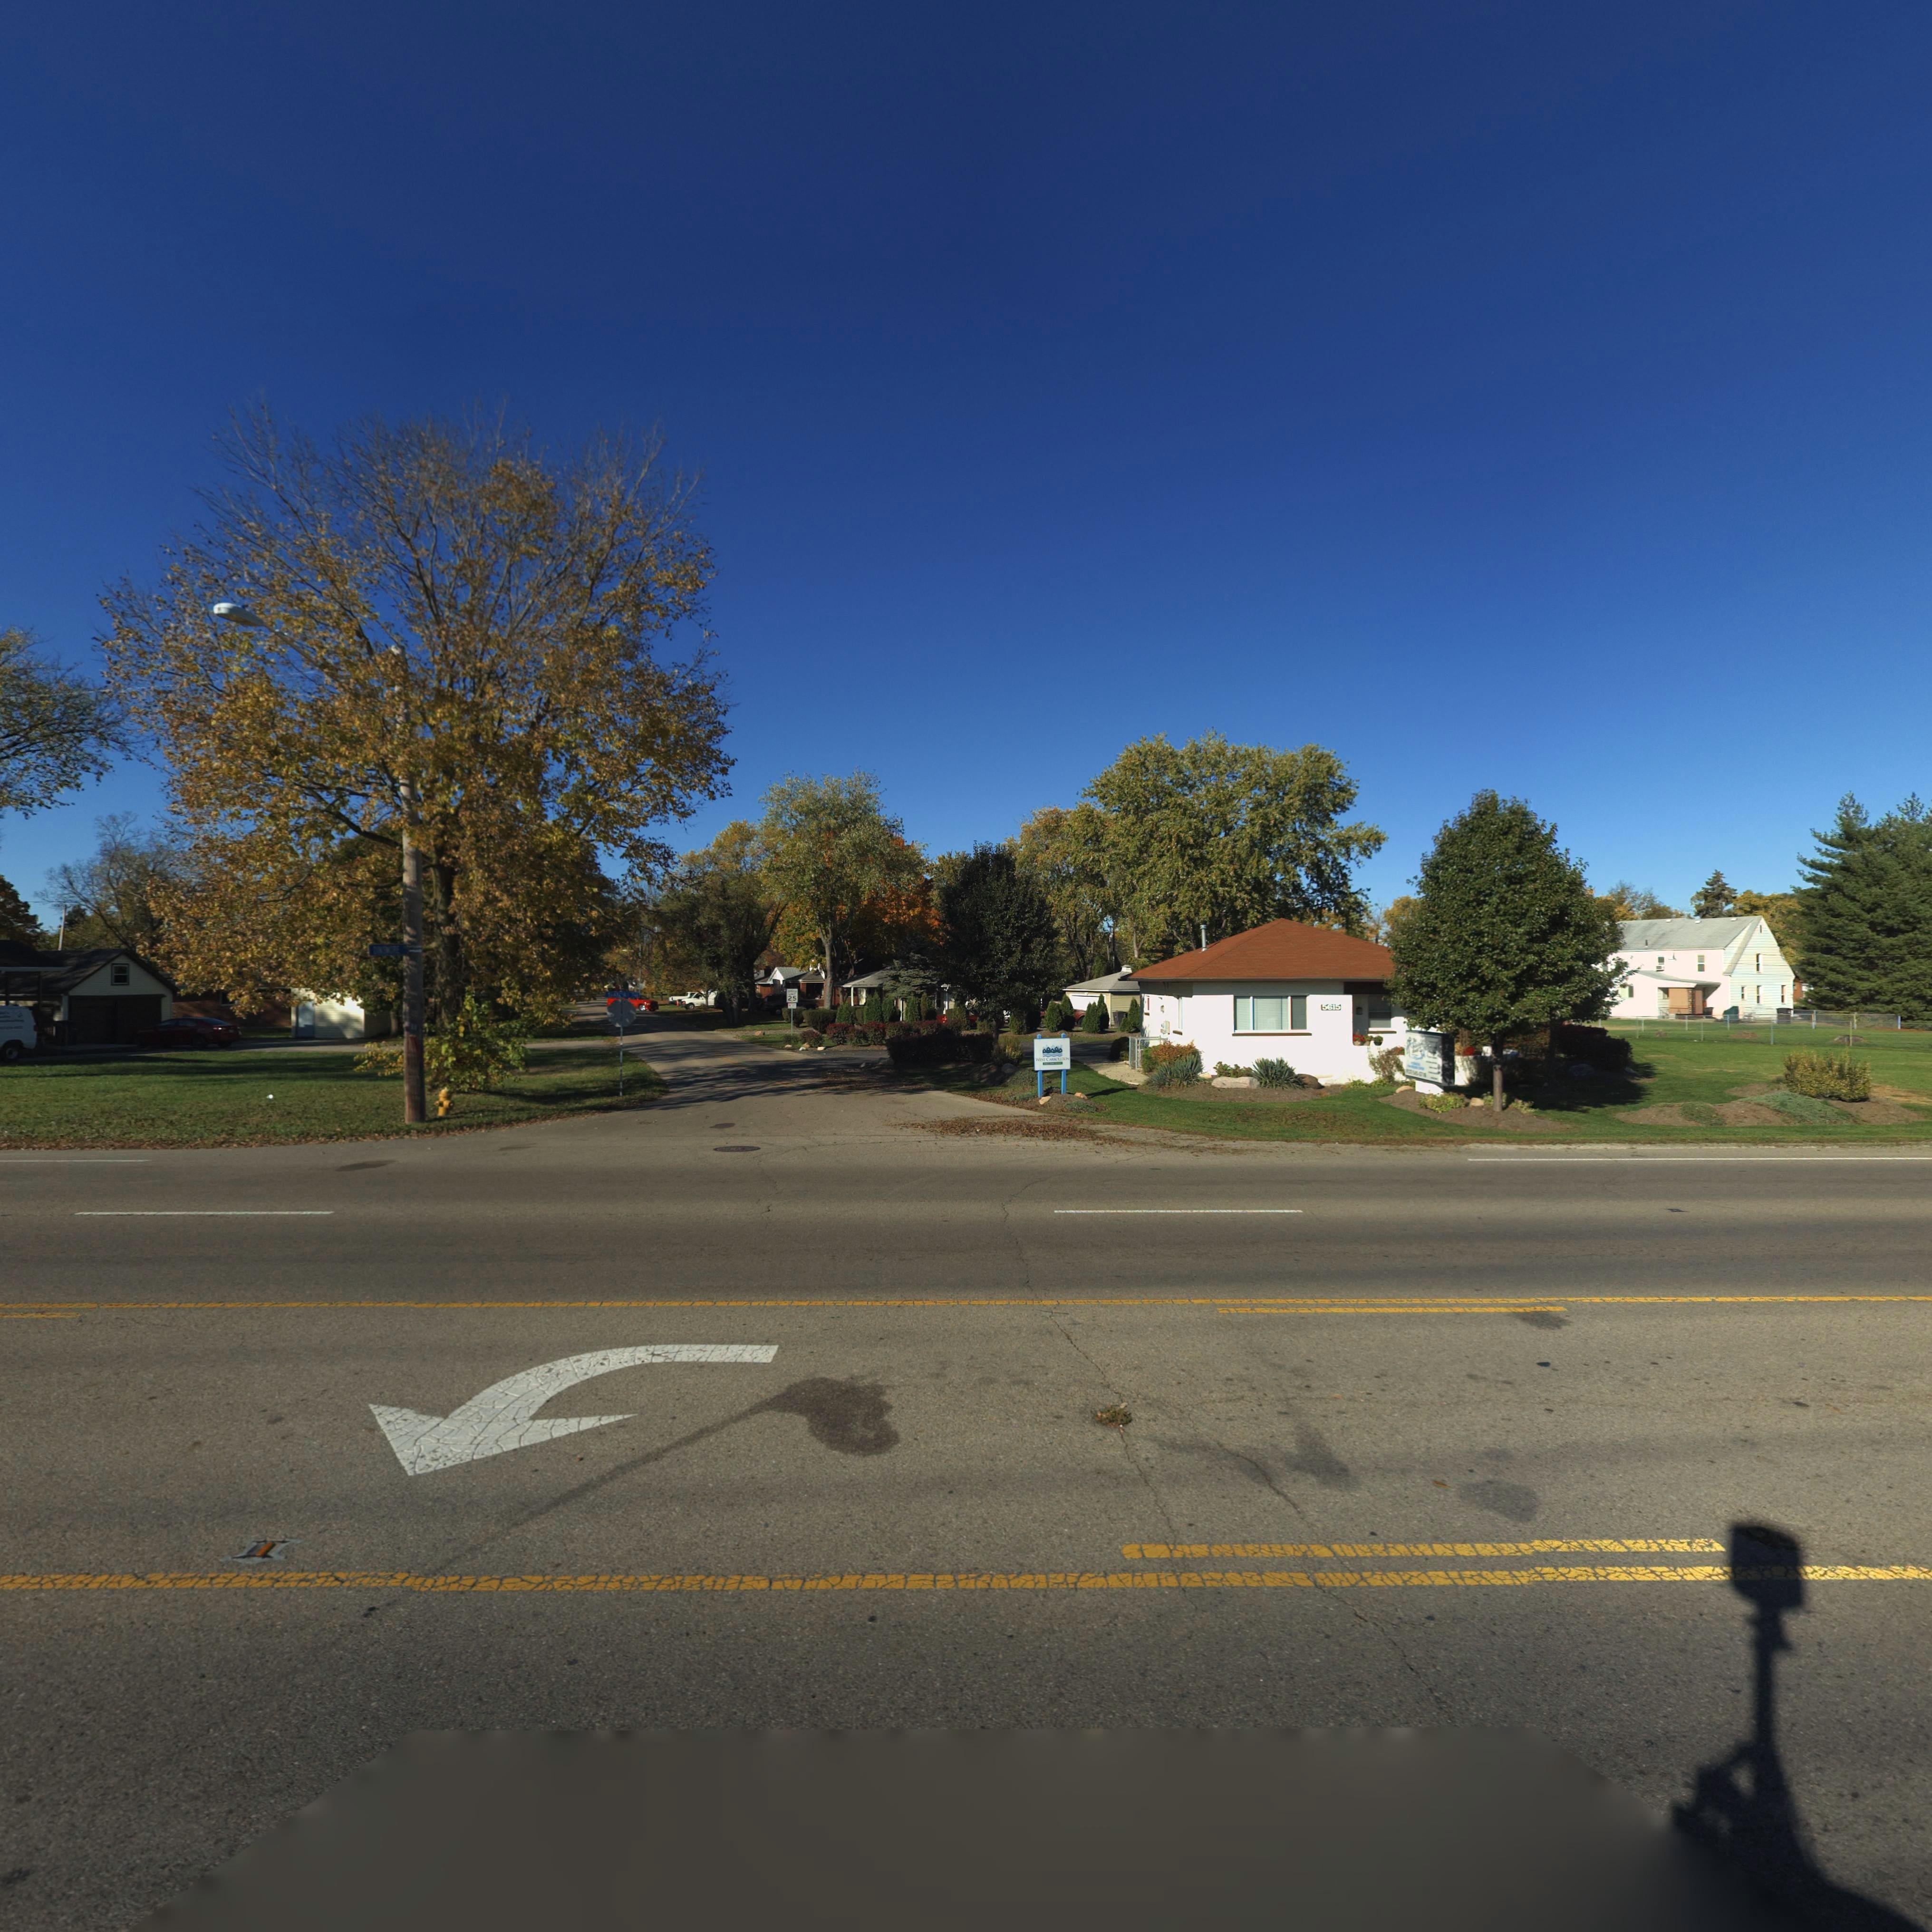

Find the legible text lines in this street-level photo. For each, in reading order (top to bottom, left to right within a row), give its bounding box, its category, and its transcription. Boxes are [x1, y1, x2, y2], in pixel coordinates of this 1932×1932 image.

[1322, 1004, 1341, 1010] StreetNumber: 5615